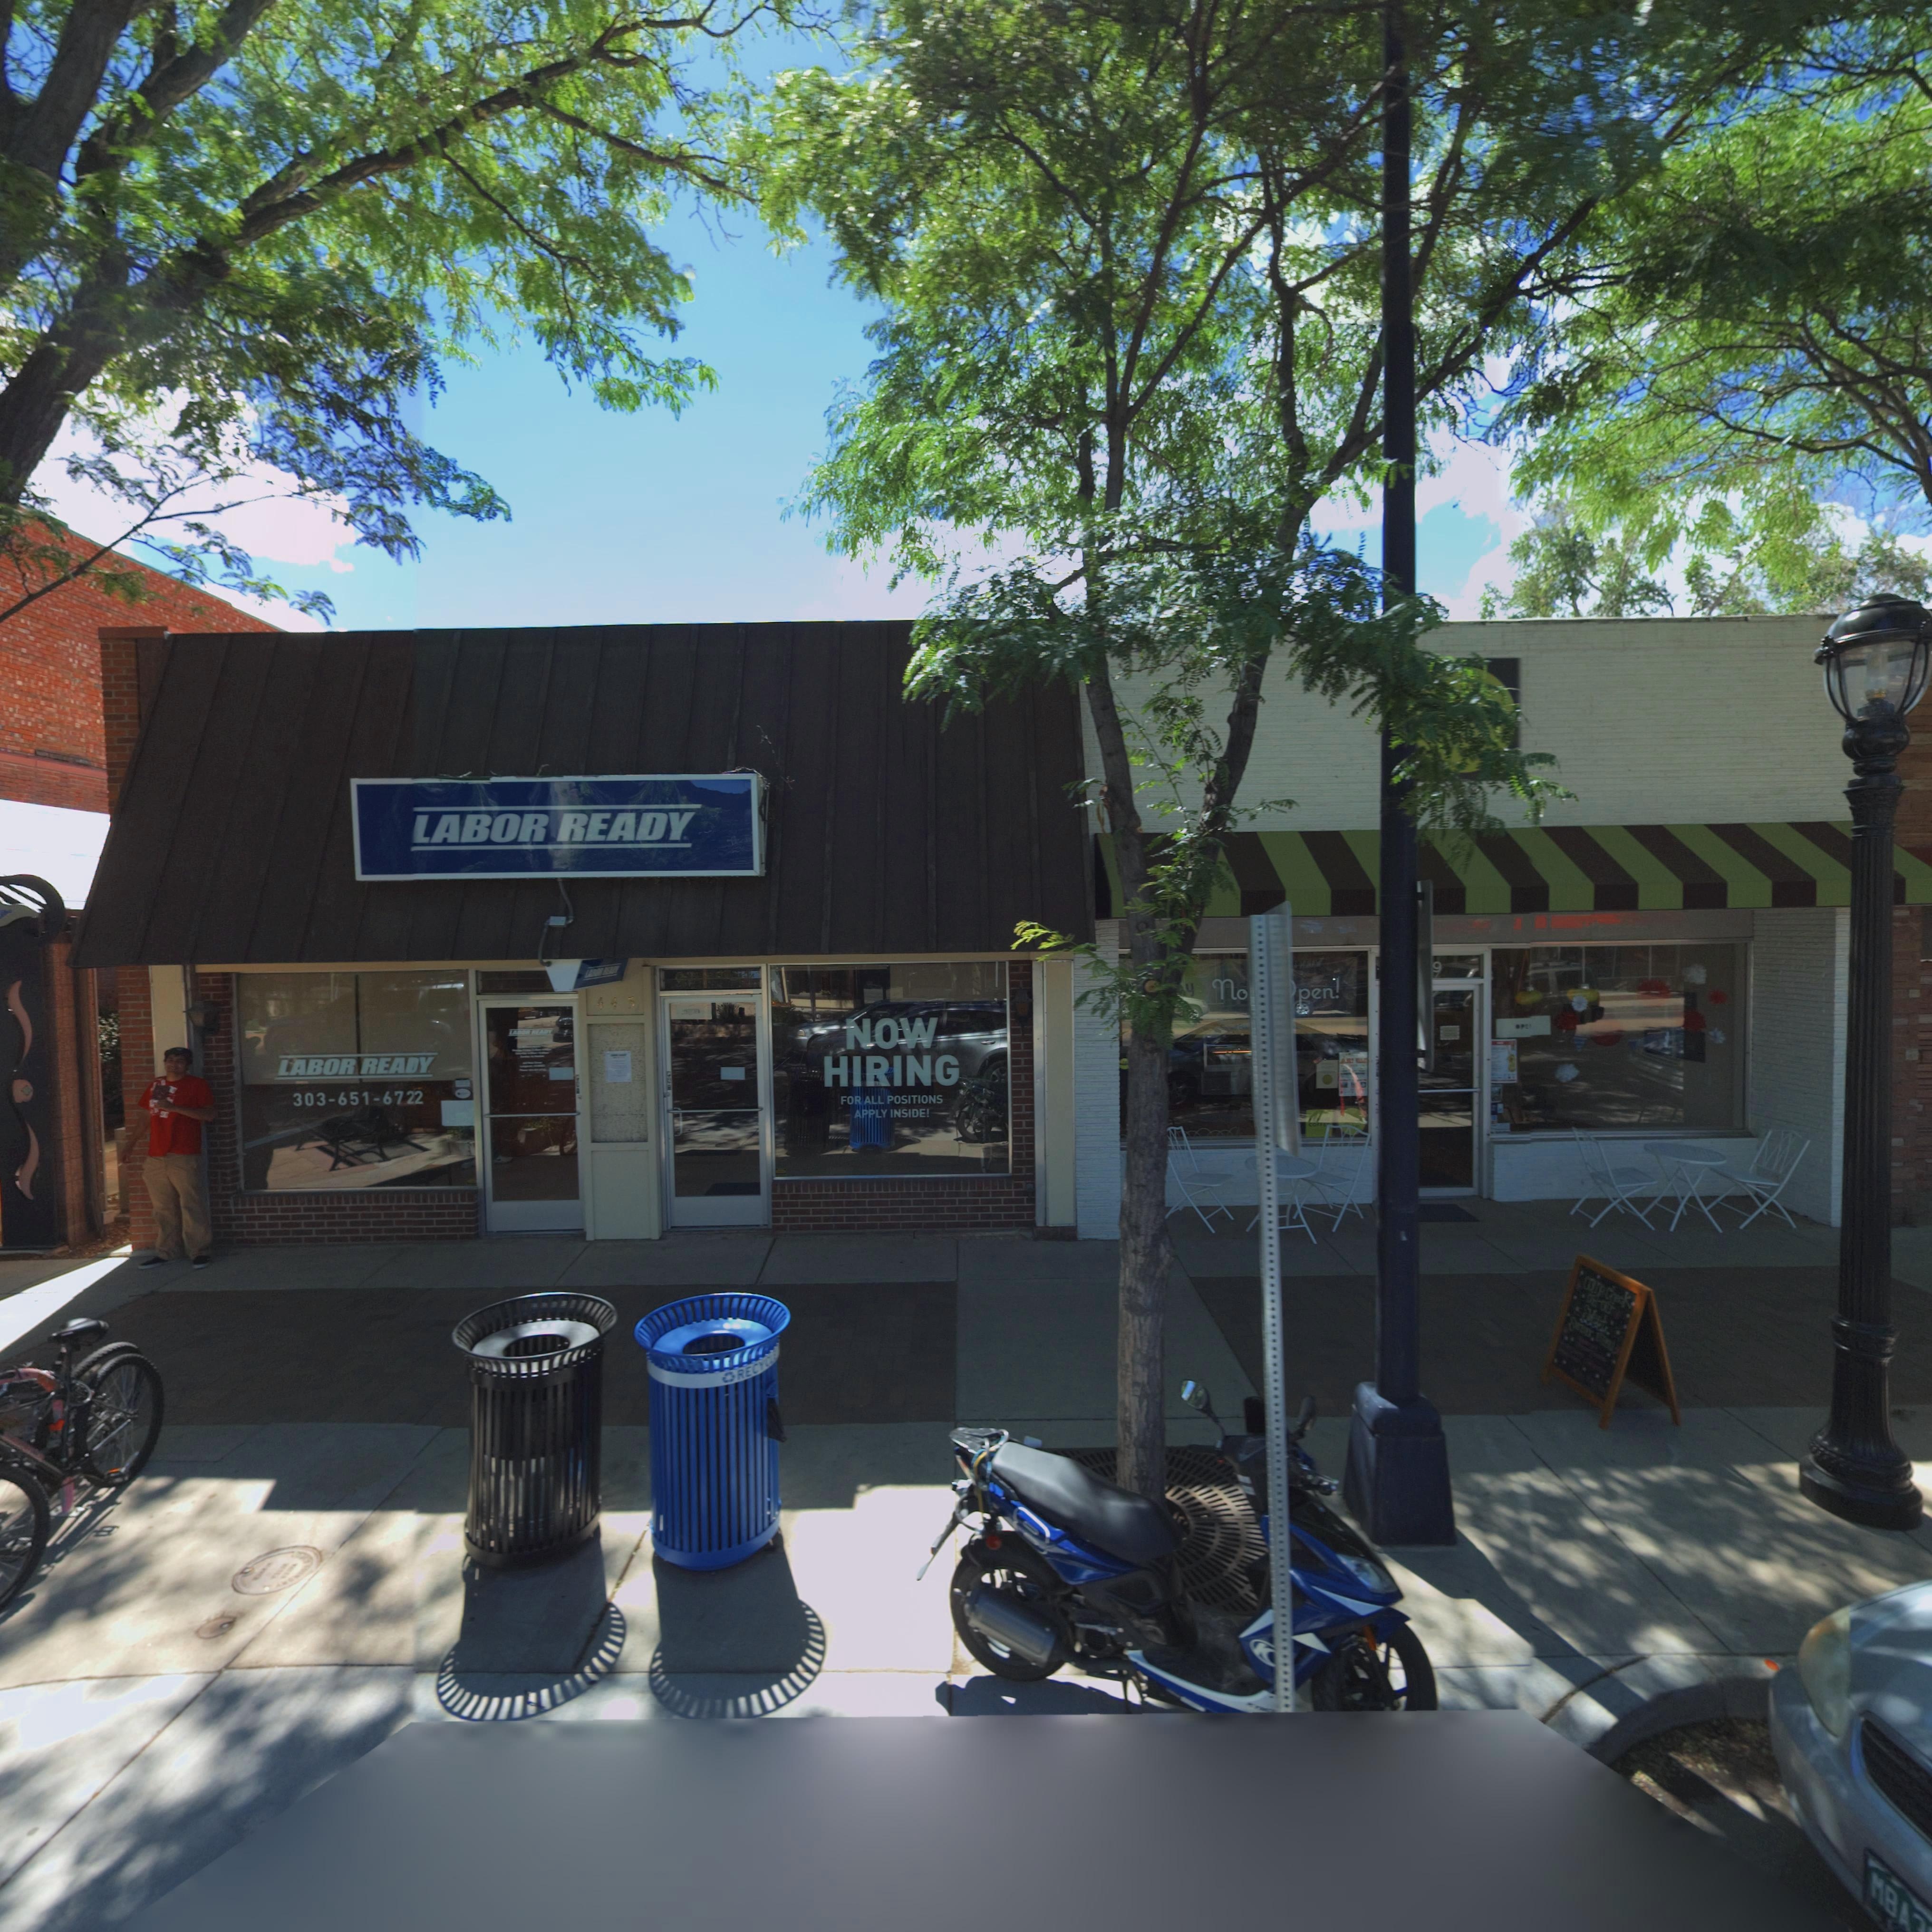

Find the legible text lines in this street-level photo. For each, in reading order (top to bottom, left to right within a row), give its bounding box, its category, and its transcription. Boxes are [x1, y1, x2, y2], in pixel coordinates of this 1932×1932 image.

[411, 810, 697, 843] BusinessName: LABOR READY
[583, 965, 620, 978] BusinessName: LABOR READY
[1432, 960, 1442, 973] StreetNumber: 9
[508, 1029, 553, 1034] BusinessName: LABOR READY
[277, 1057, 435, 1076] BusinessName: LABOR READY